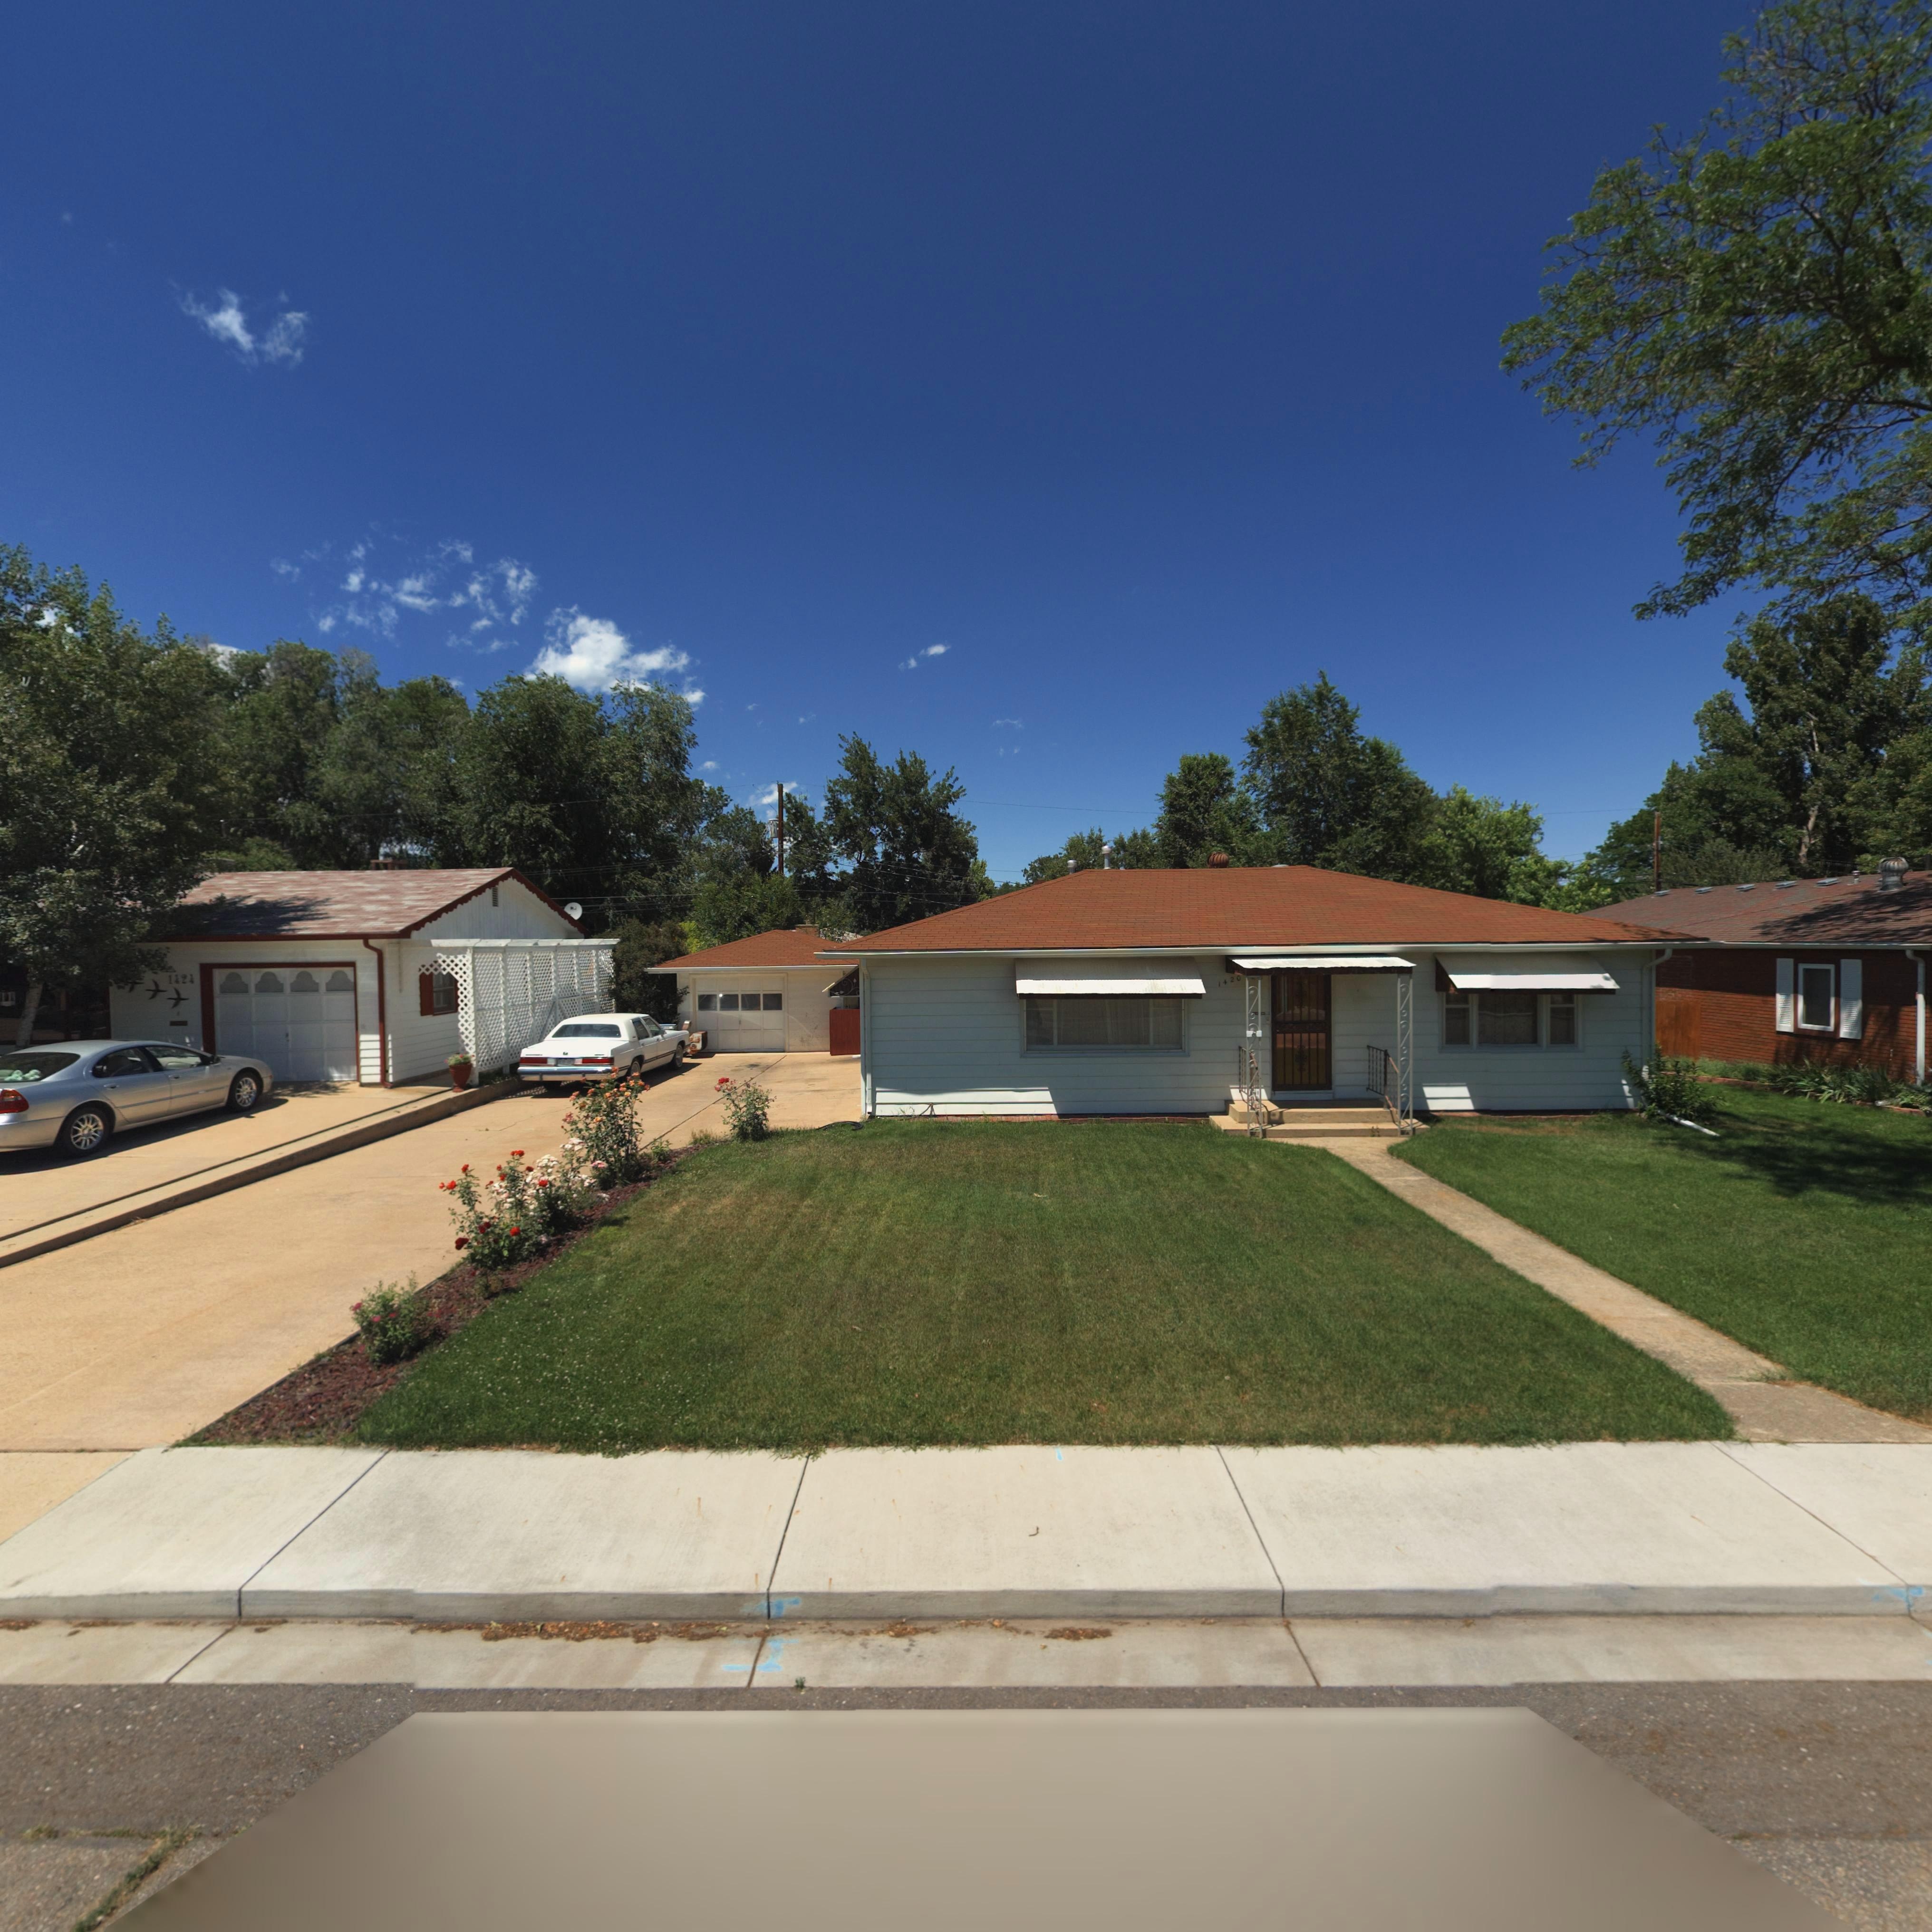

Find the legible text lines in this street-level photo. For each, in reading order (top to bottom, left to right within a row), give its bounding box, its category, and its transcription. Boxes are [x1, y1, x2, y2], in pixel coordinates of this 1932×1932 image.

[168, 973, 195, 985] StreetNumber: 1424
[1218, 975, 1241, 987] StreetNumber: 1420